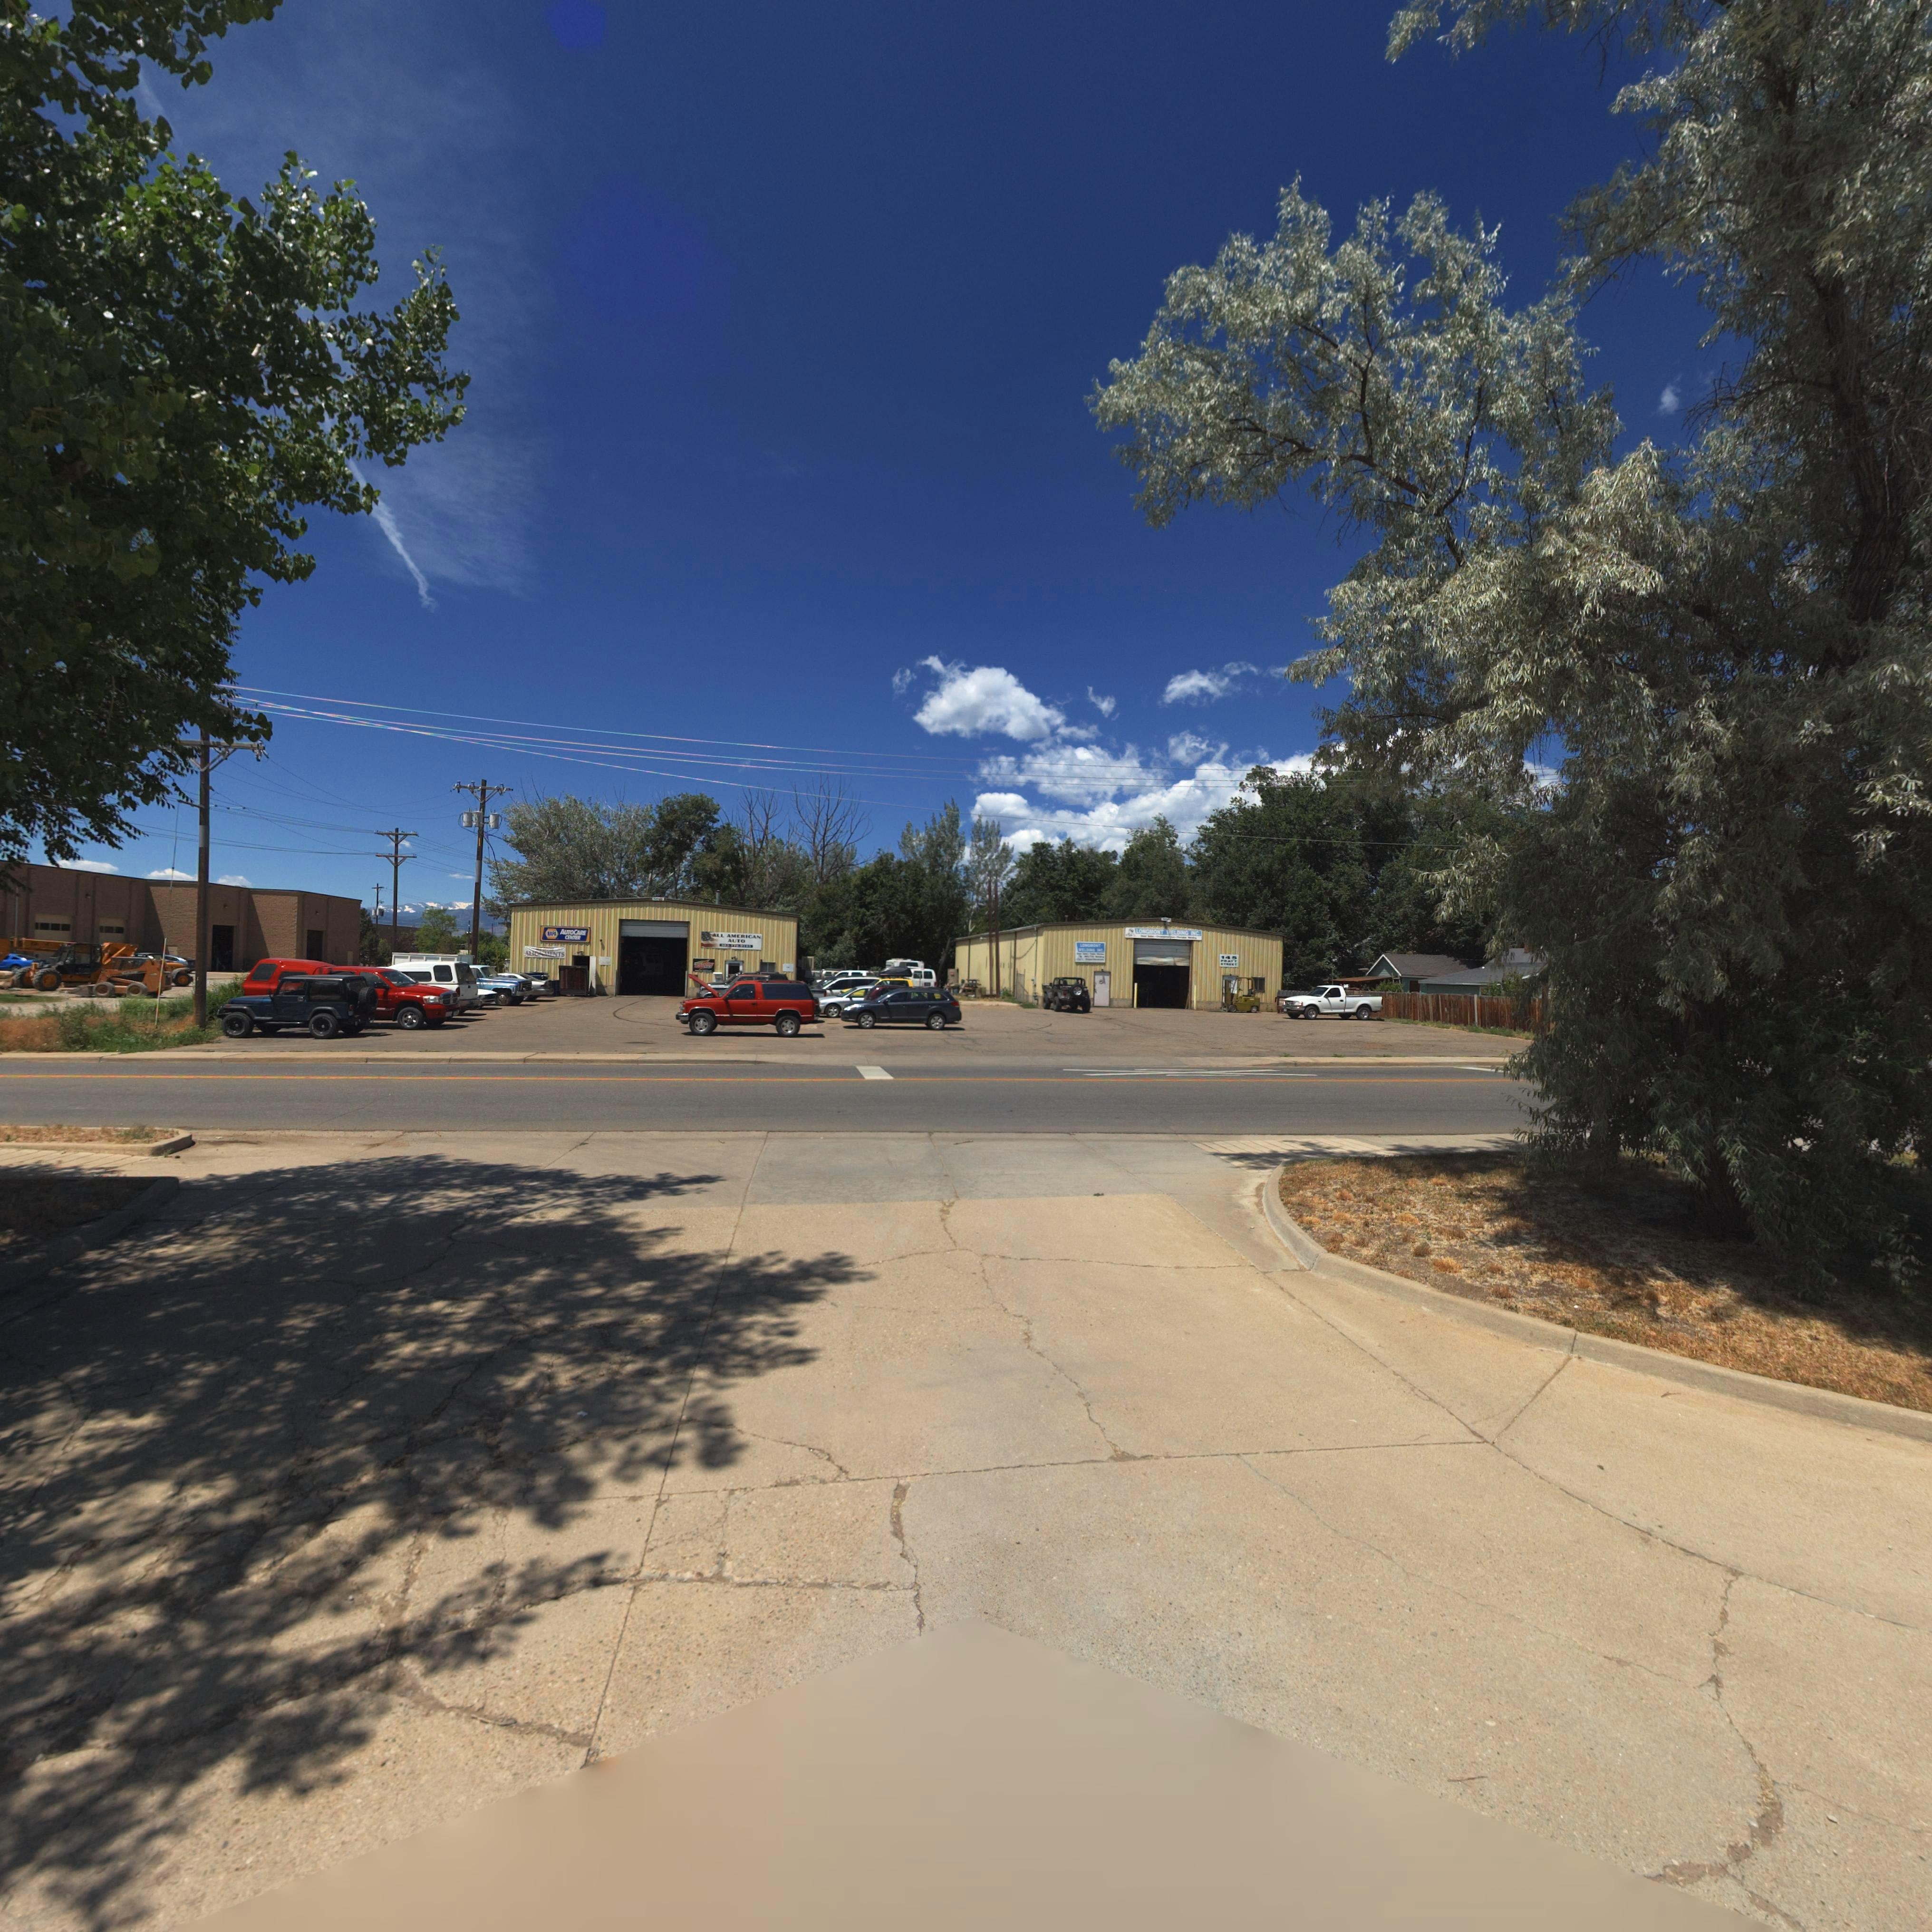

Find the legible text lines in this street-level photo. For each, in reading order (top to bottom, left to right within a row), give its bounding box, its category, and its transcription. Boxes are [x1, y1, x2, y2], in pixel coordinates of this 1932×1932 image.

[546, 931, 556, 936] BusinessName: NAPA
[560, 928, 587, 935] BusinessName: AUTOCARE
[1135, 928, 1199, 936] BusinessName: LONGMONT WELDING INC.
[564, 935, 581, 940] BusinessName: CENTER
[712, 933, 761, 939] BusinessName: ALL AMERICAN
[727, 938, 745, 943] BusinessName: AUTO
[1080, 943, 1101, 947] BusinessName: LONGMONT
[1078, 947, 1102, 952] BusinessName: WELDING INC.
[1220, 955, 1237, 959] StreetNumber: 145
[1220, 959, 1237, 962] StreetName: PRATT
[1220, 963, 1237, 966] StreetName: *****T